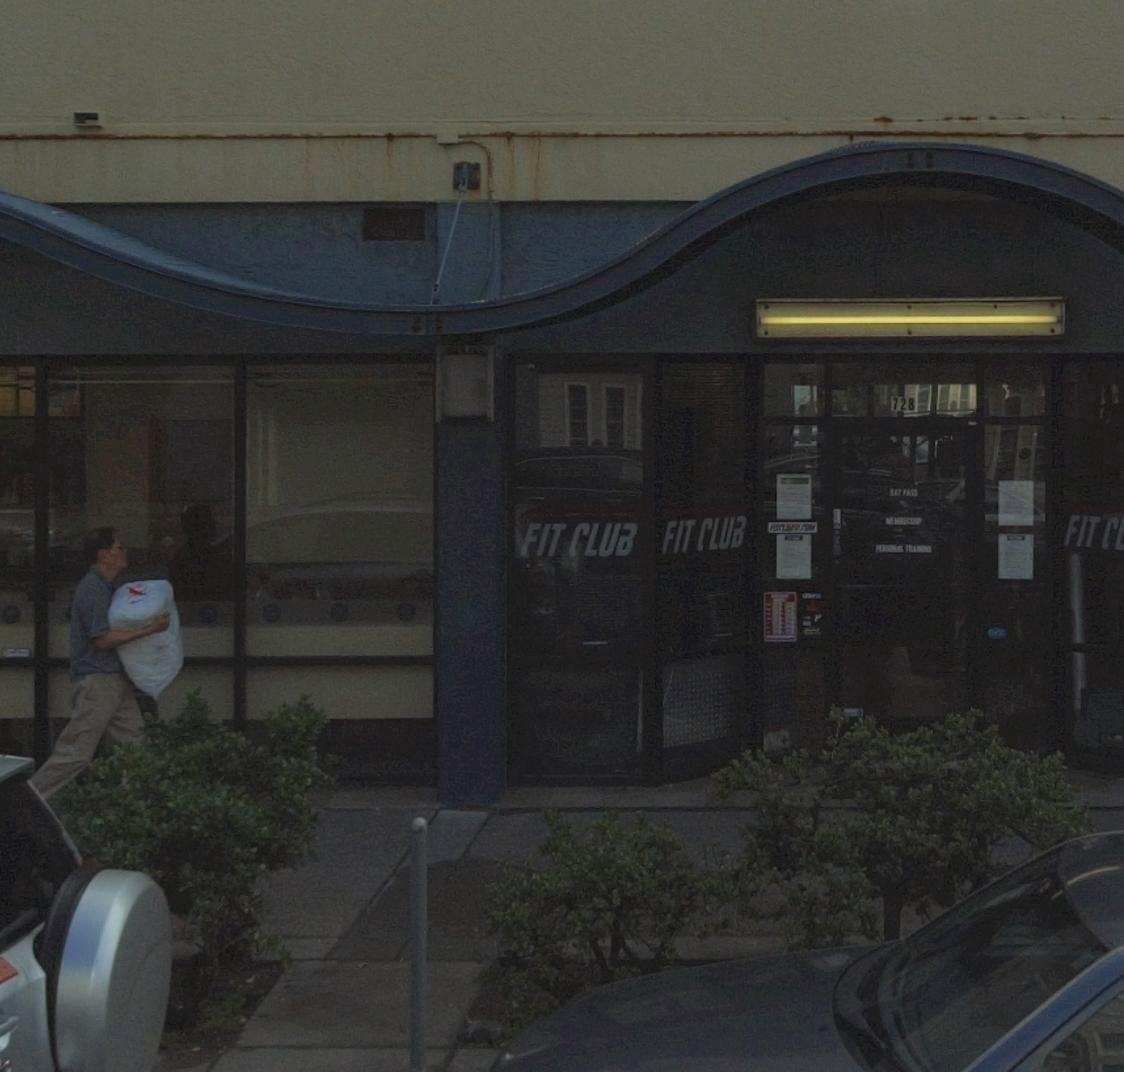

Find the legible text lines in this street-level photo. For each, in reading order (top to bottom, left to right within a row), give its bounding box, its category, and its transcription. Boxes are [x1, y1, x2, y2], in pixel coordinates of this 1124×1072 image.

[889, 395, 917, 413] StreetNumber: 728
[513, 519, 646, 561] BusinessName: FIT CLUB
[657, 510, 753, 559] BusinessName: FIT CLUB
[1059, 511, 1123, 553] BusinessName: FIT C